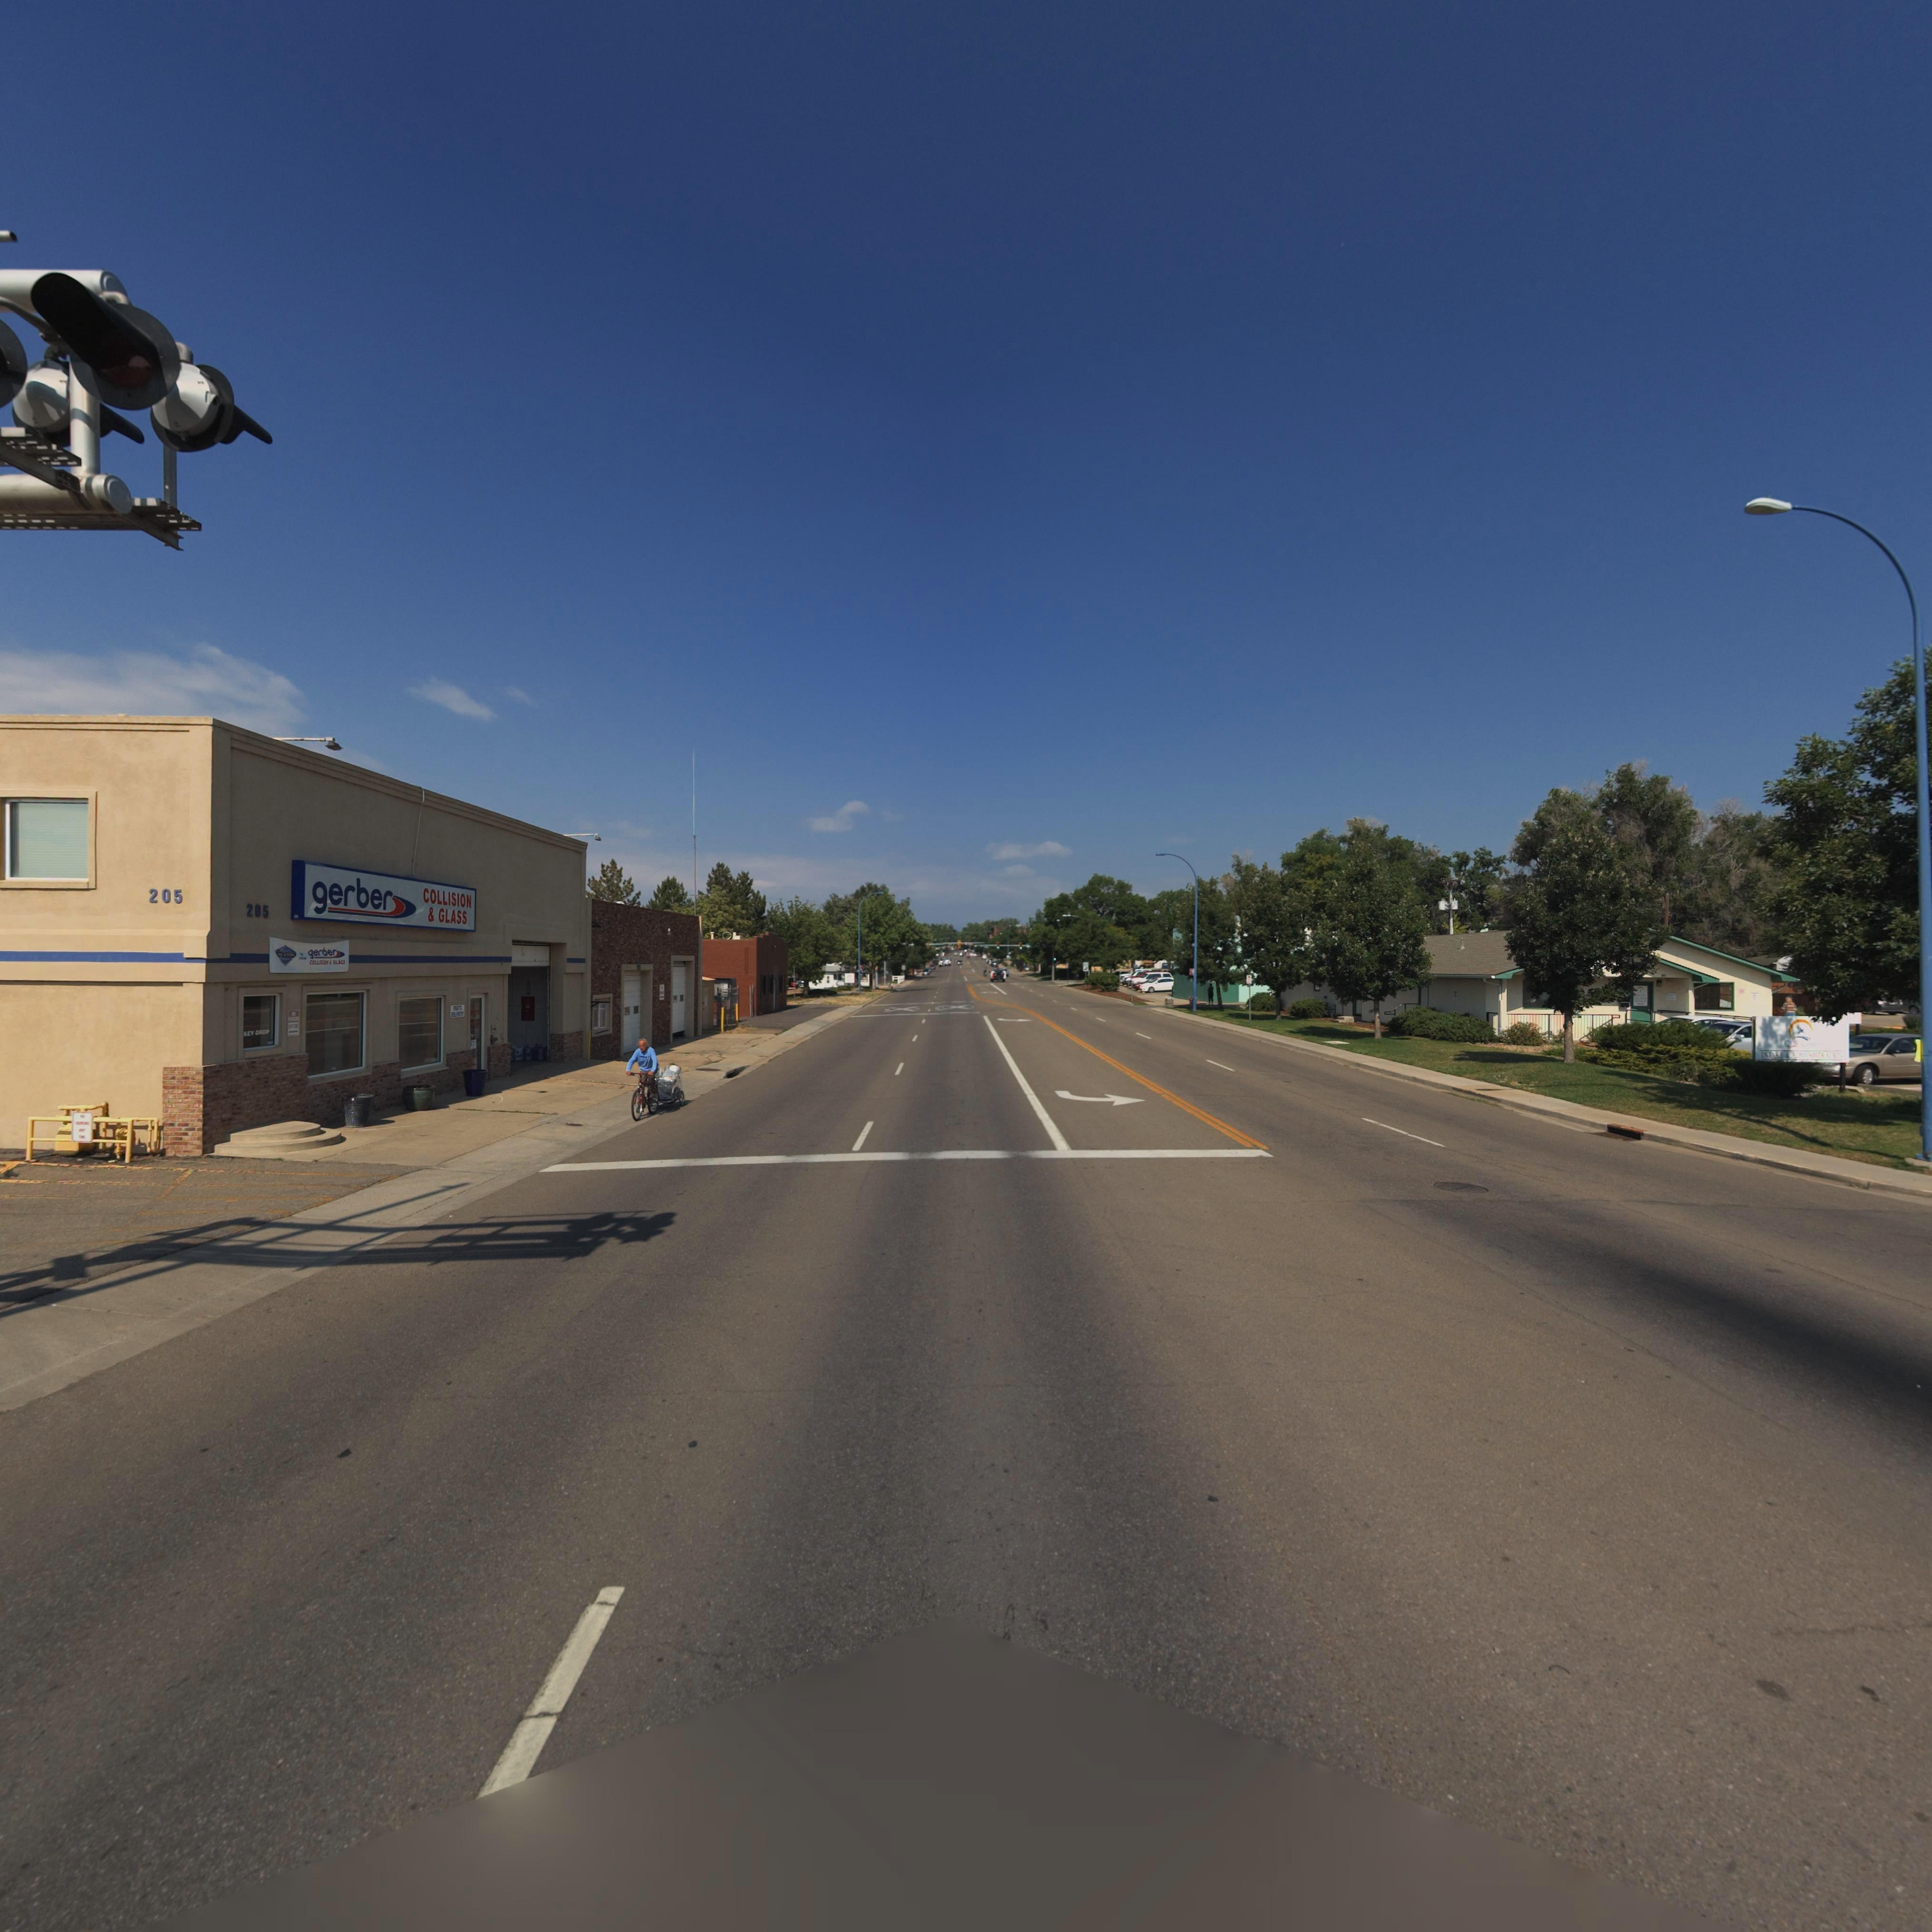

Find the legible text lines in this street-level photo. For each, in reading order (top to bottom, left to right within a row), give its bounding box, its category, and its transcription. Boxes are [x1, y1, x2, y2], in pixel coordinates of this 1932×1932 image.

[148, 888, 183, 904] StreetNumber: 205
[311, 876, 394, 915] BusinessName: gerber
[422, 887, 472, 908] BusinessName: COLLISION
[246, 902, 269, 918] StreetNumber: 205
[427, 906, 467, 925] BusinessName: & GLASS
[307, 947, 337, 959] BusinessName: gerber
[309, 959, 346, 965] BusinessName: COLL*S*** * GL*SS